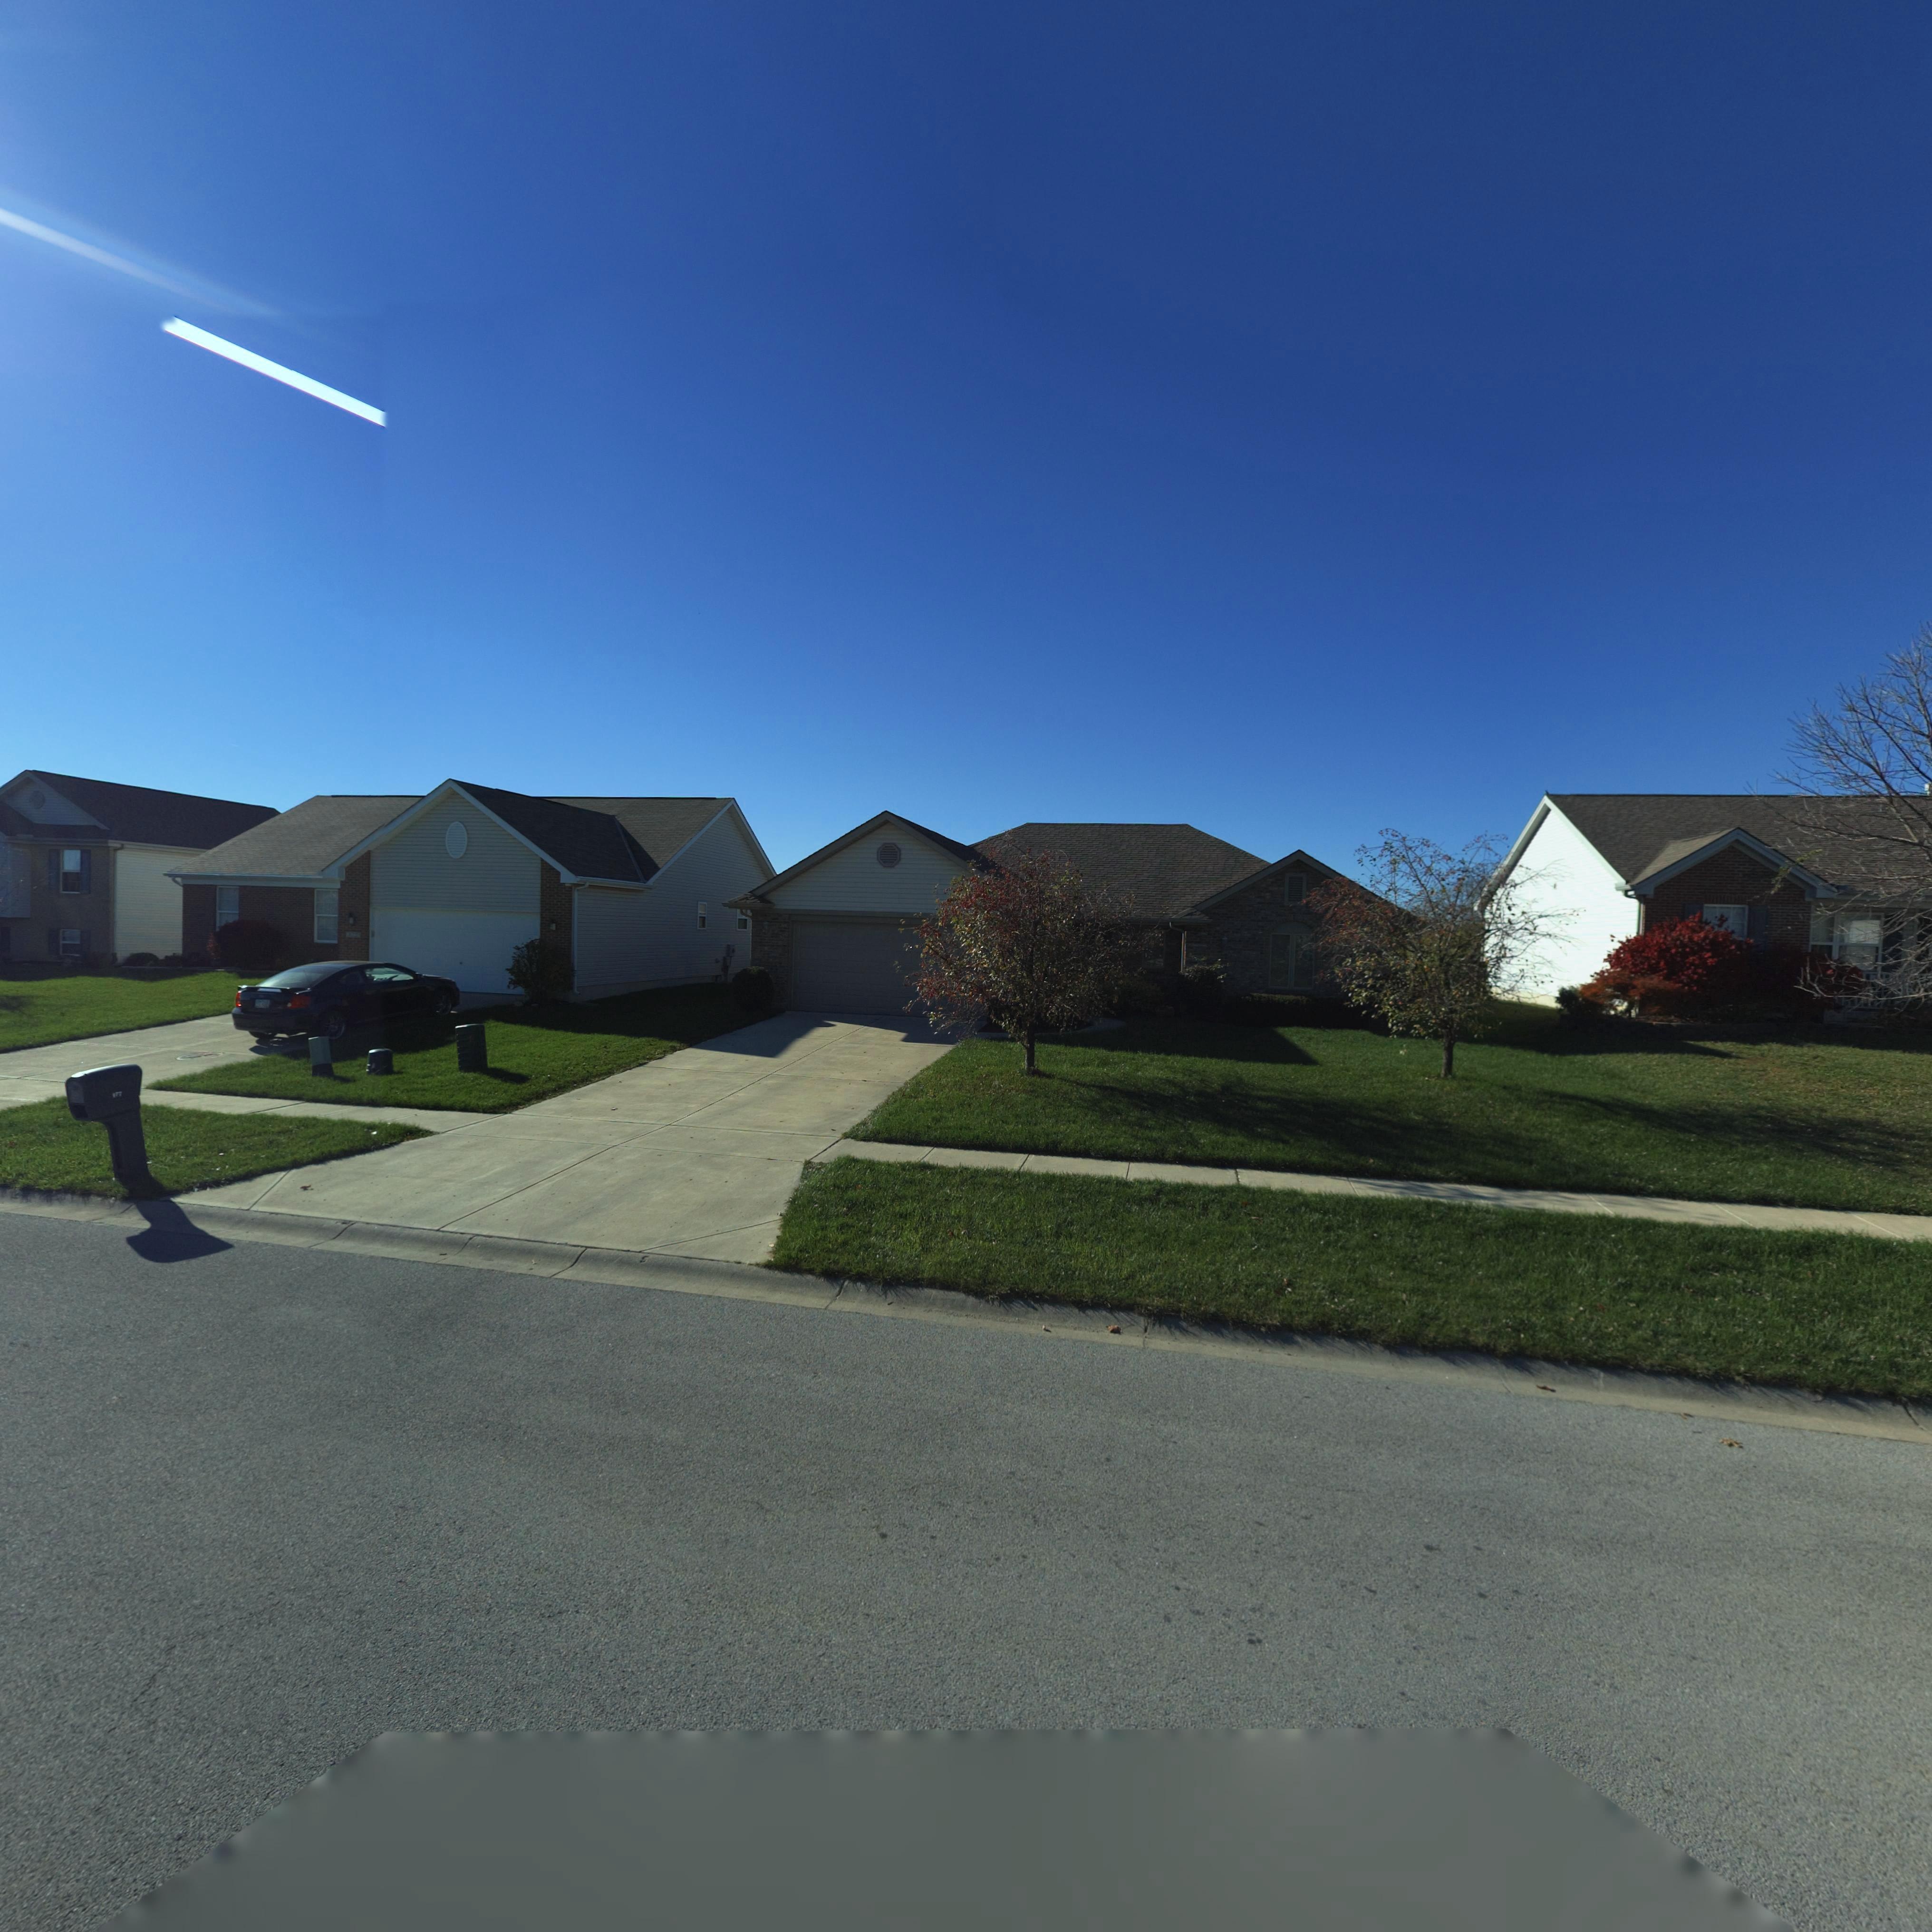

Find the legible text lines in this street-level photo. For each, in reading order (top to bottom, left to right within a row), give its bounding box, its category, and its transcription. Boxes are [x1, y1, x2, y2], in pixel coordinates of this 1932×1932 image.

[345, 932, 360, 938] StreetNumber: 175
[111, 1090, 123, 1098] StreetNumber: 177